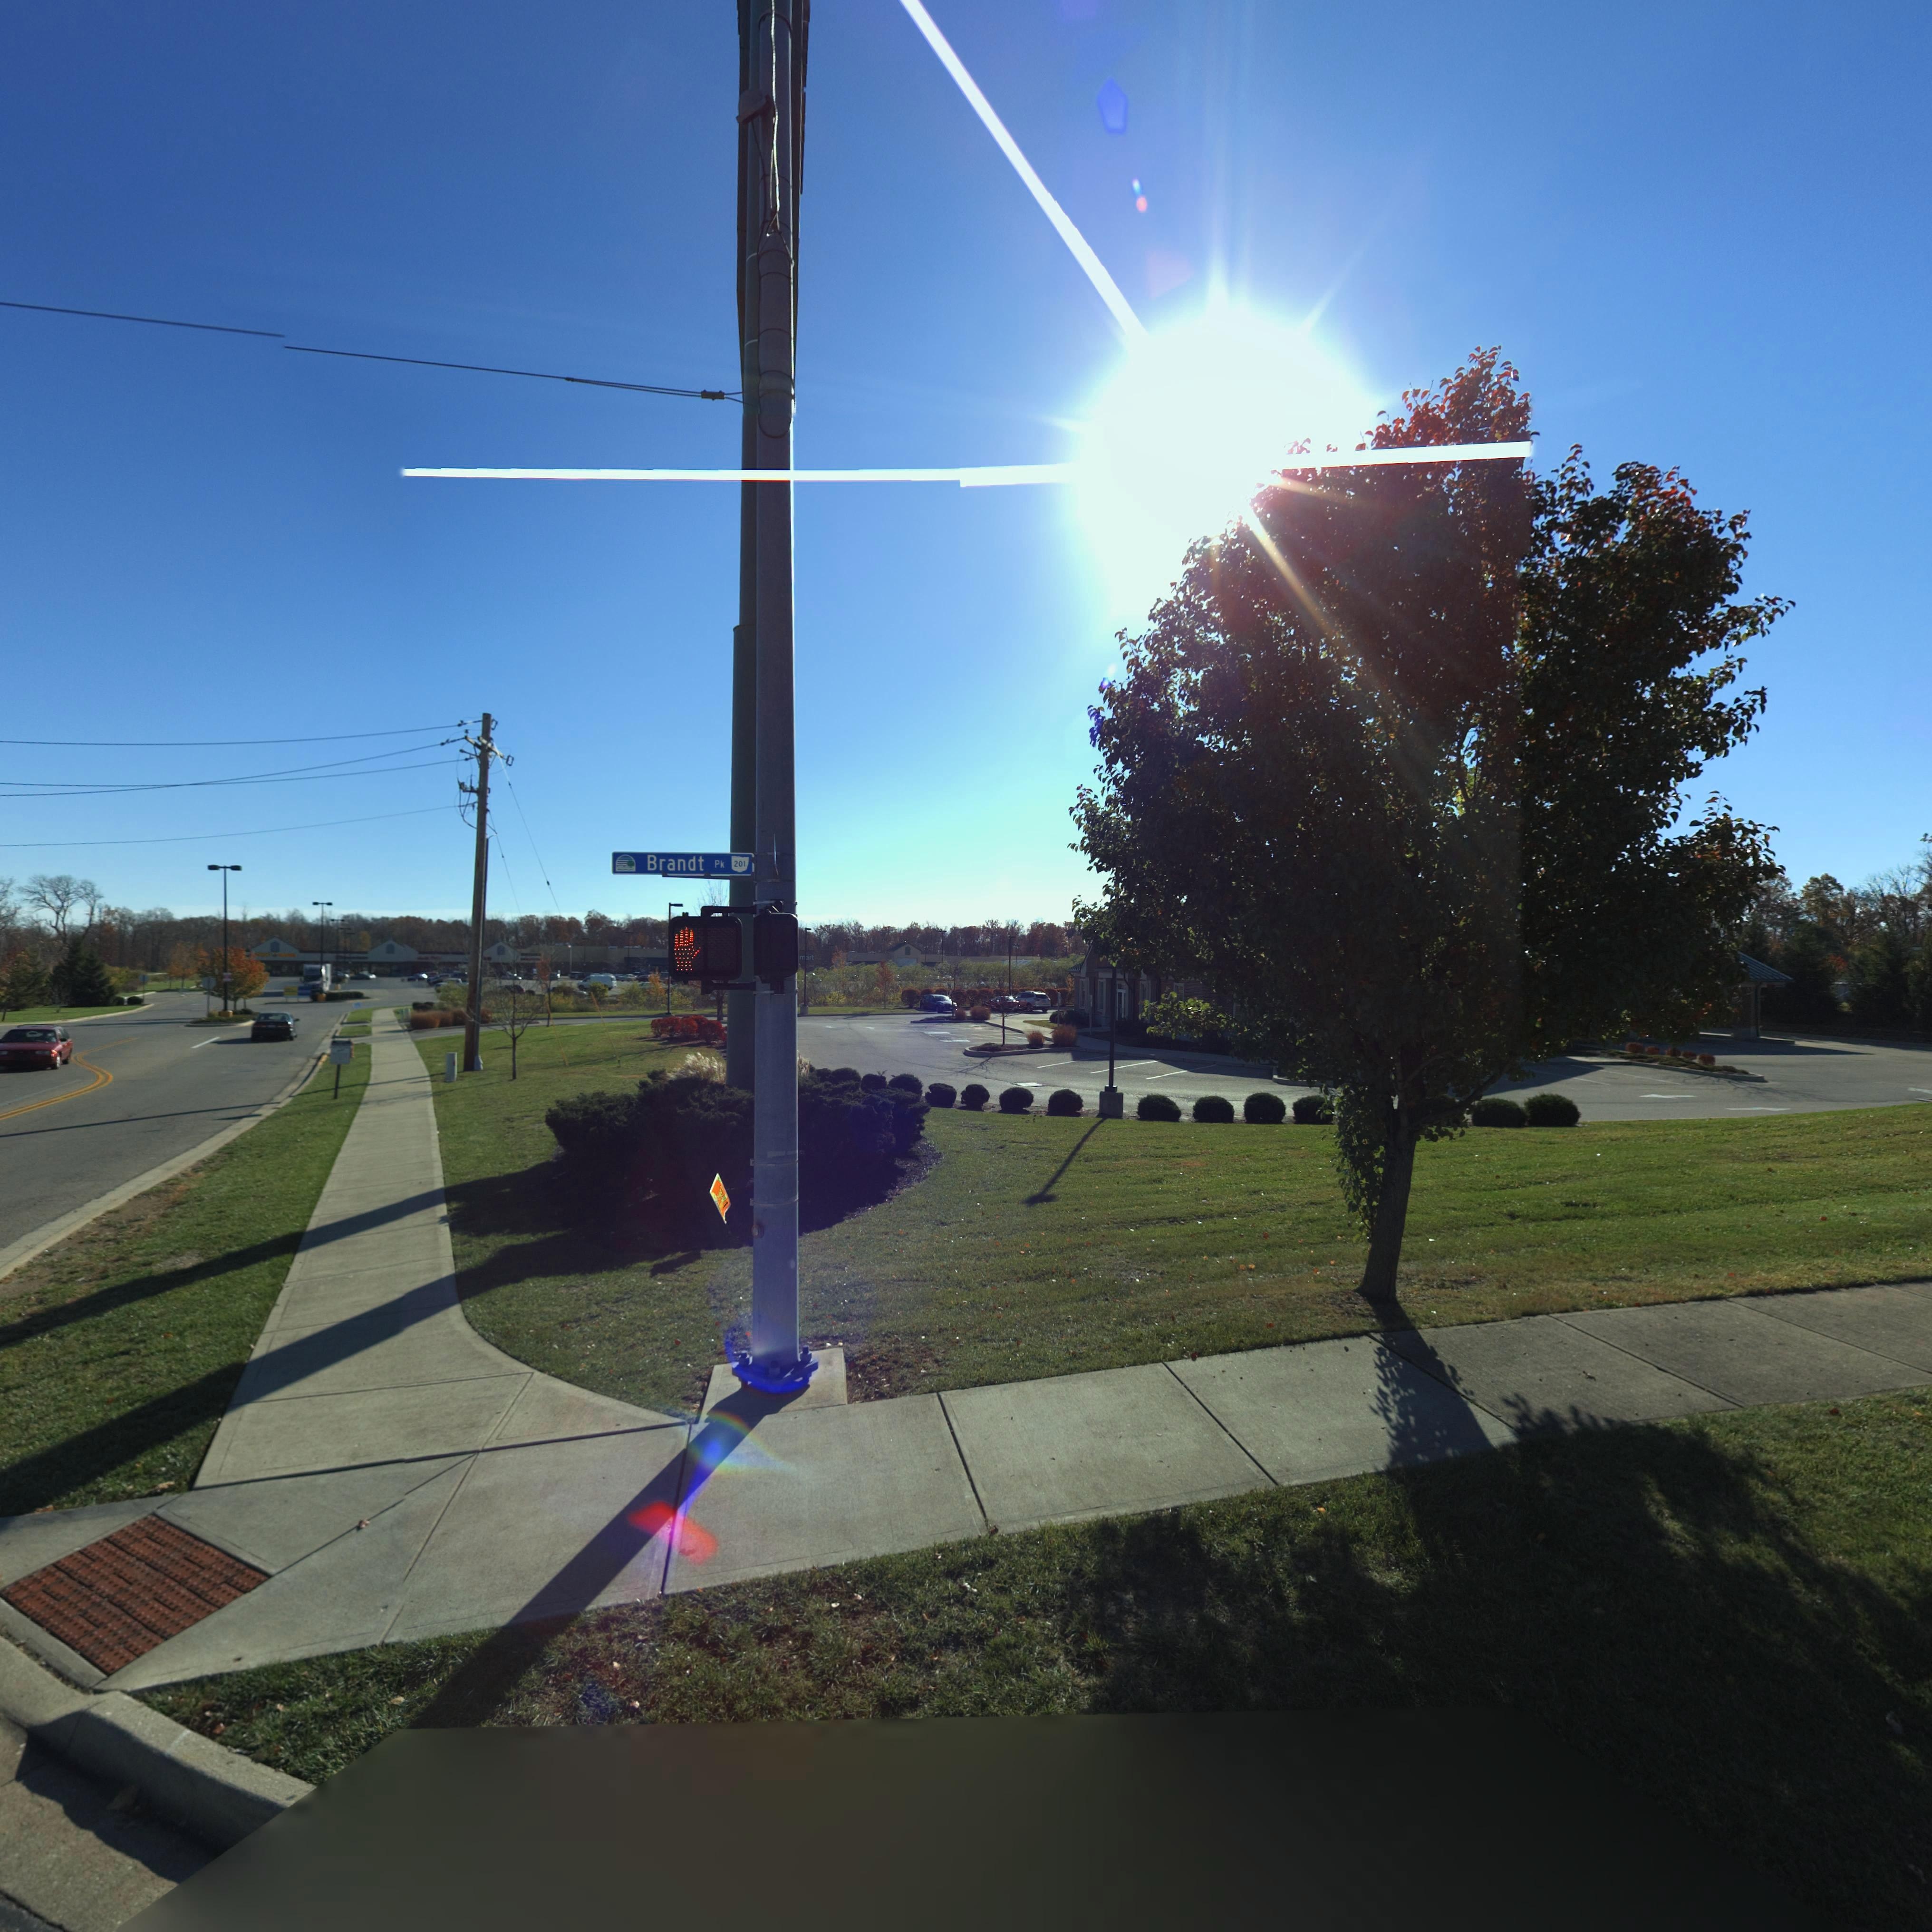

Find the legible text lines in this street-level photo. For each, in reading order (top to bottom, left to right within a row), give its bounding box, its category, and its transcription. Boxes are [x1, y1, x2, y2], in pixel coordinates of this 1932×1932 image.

[1121, 983, 1124, 989] StreetNumber: 7